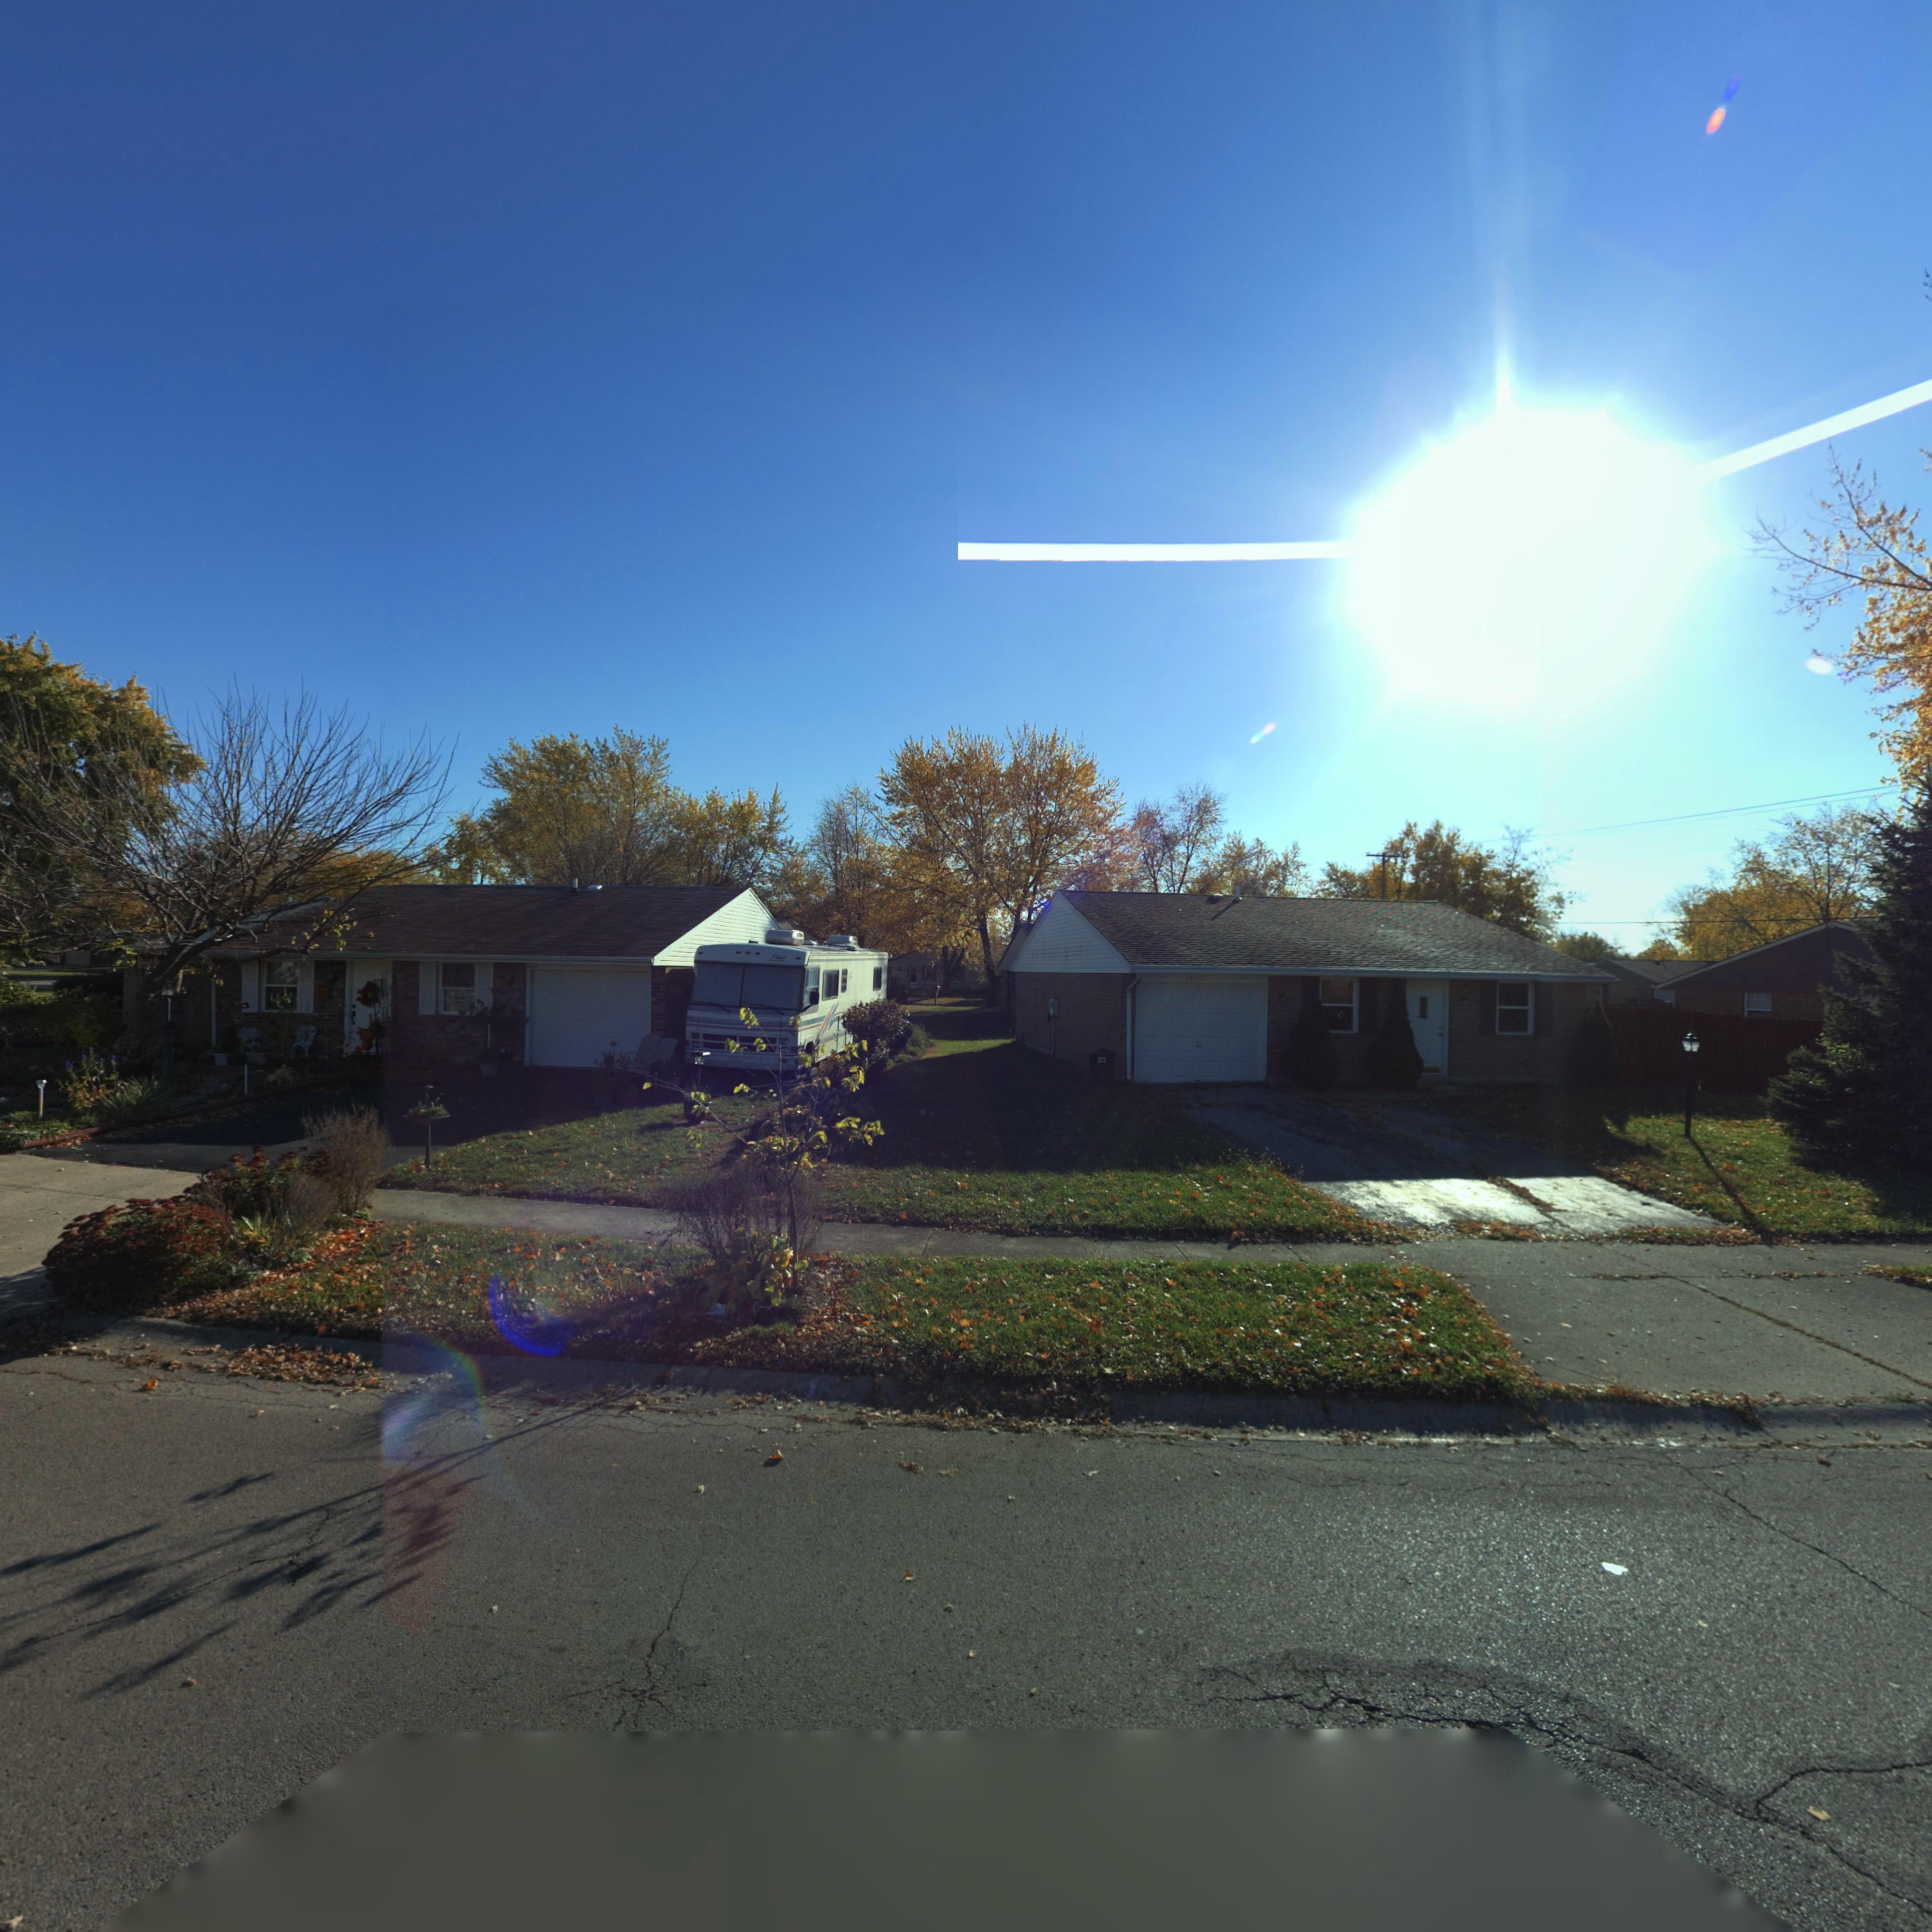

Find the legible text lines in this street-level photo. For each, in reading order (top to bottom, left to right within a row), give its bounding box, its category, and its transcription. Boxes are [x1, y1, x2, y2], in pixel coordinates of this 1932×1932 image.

[1185, 975, 1206, 983] StreetNumber: 79**